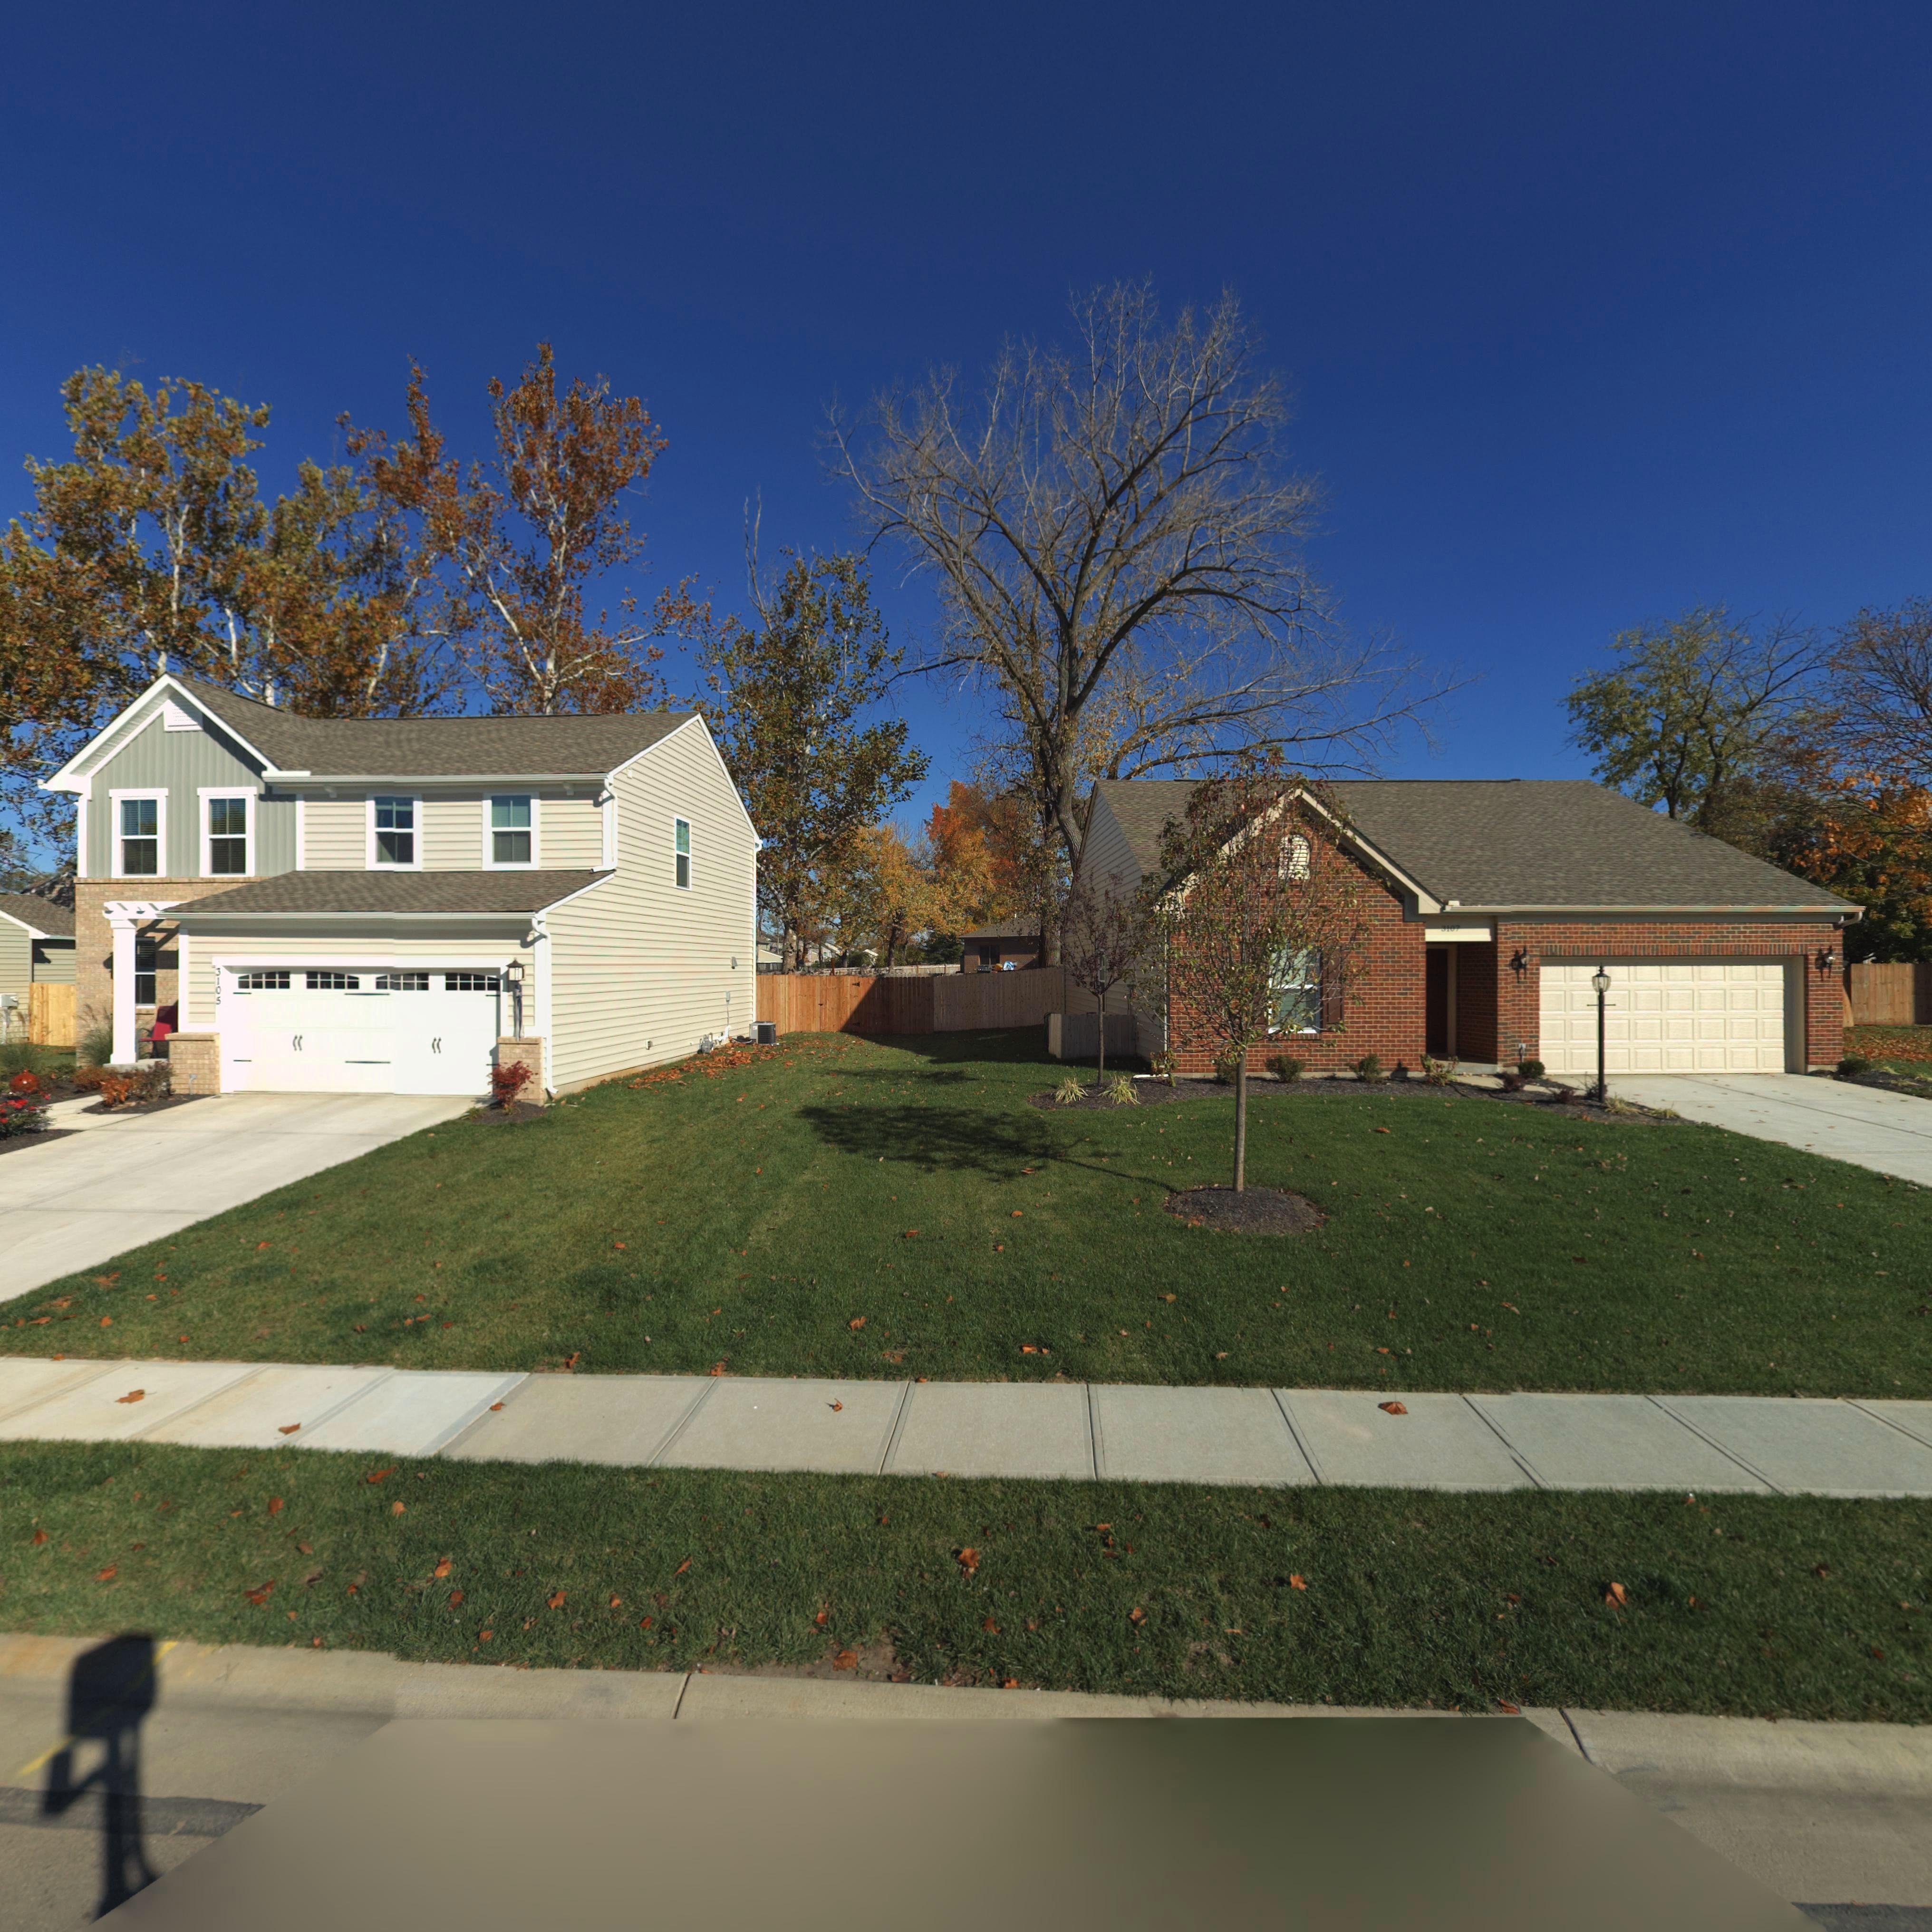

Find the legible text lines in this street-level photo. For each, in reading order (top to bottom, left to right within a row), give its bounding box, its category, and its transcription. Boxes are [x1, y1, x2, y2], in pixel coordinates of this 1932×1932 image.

[1440, 924, 1461, 933] StreetNumber: 3107
[215, 967, 222, 1005] StreetNumber: 3105